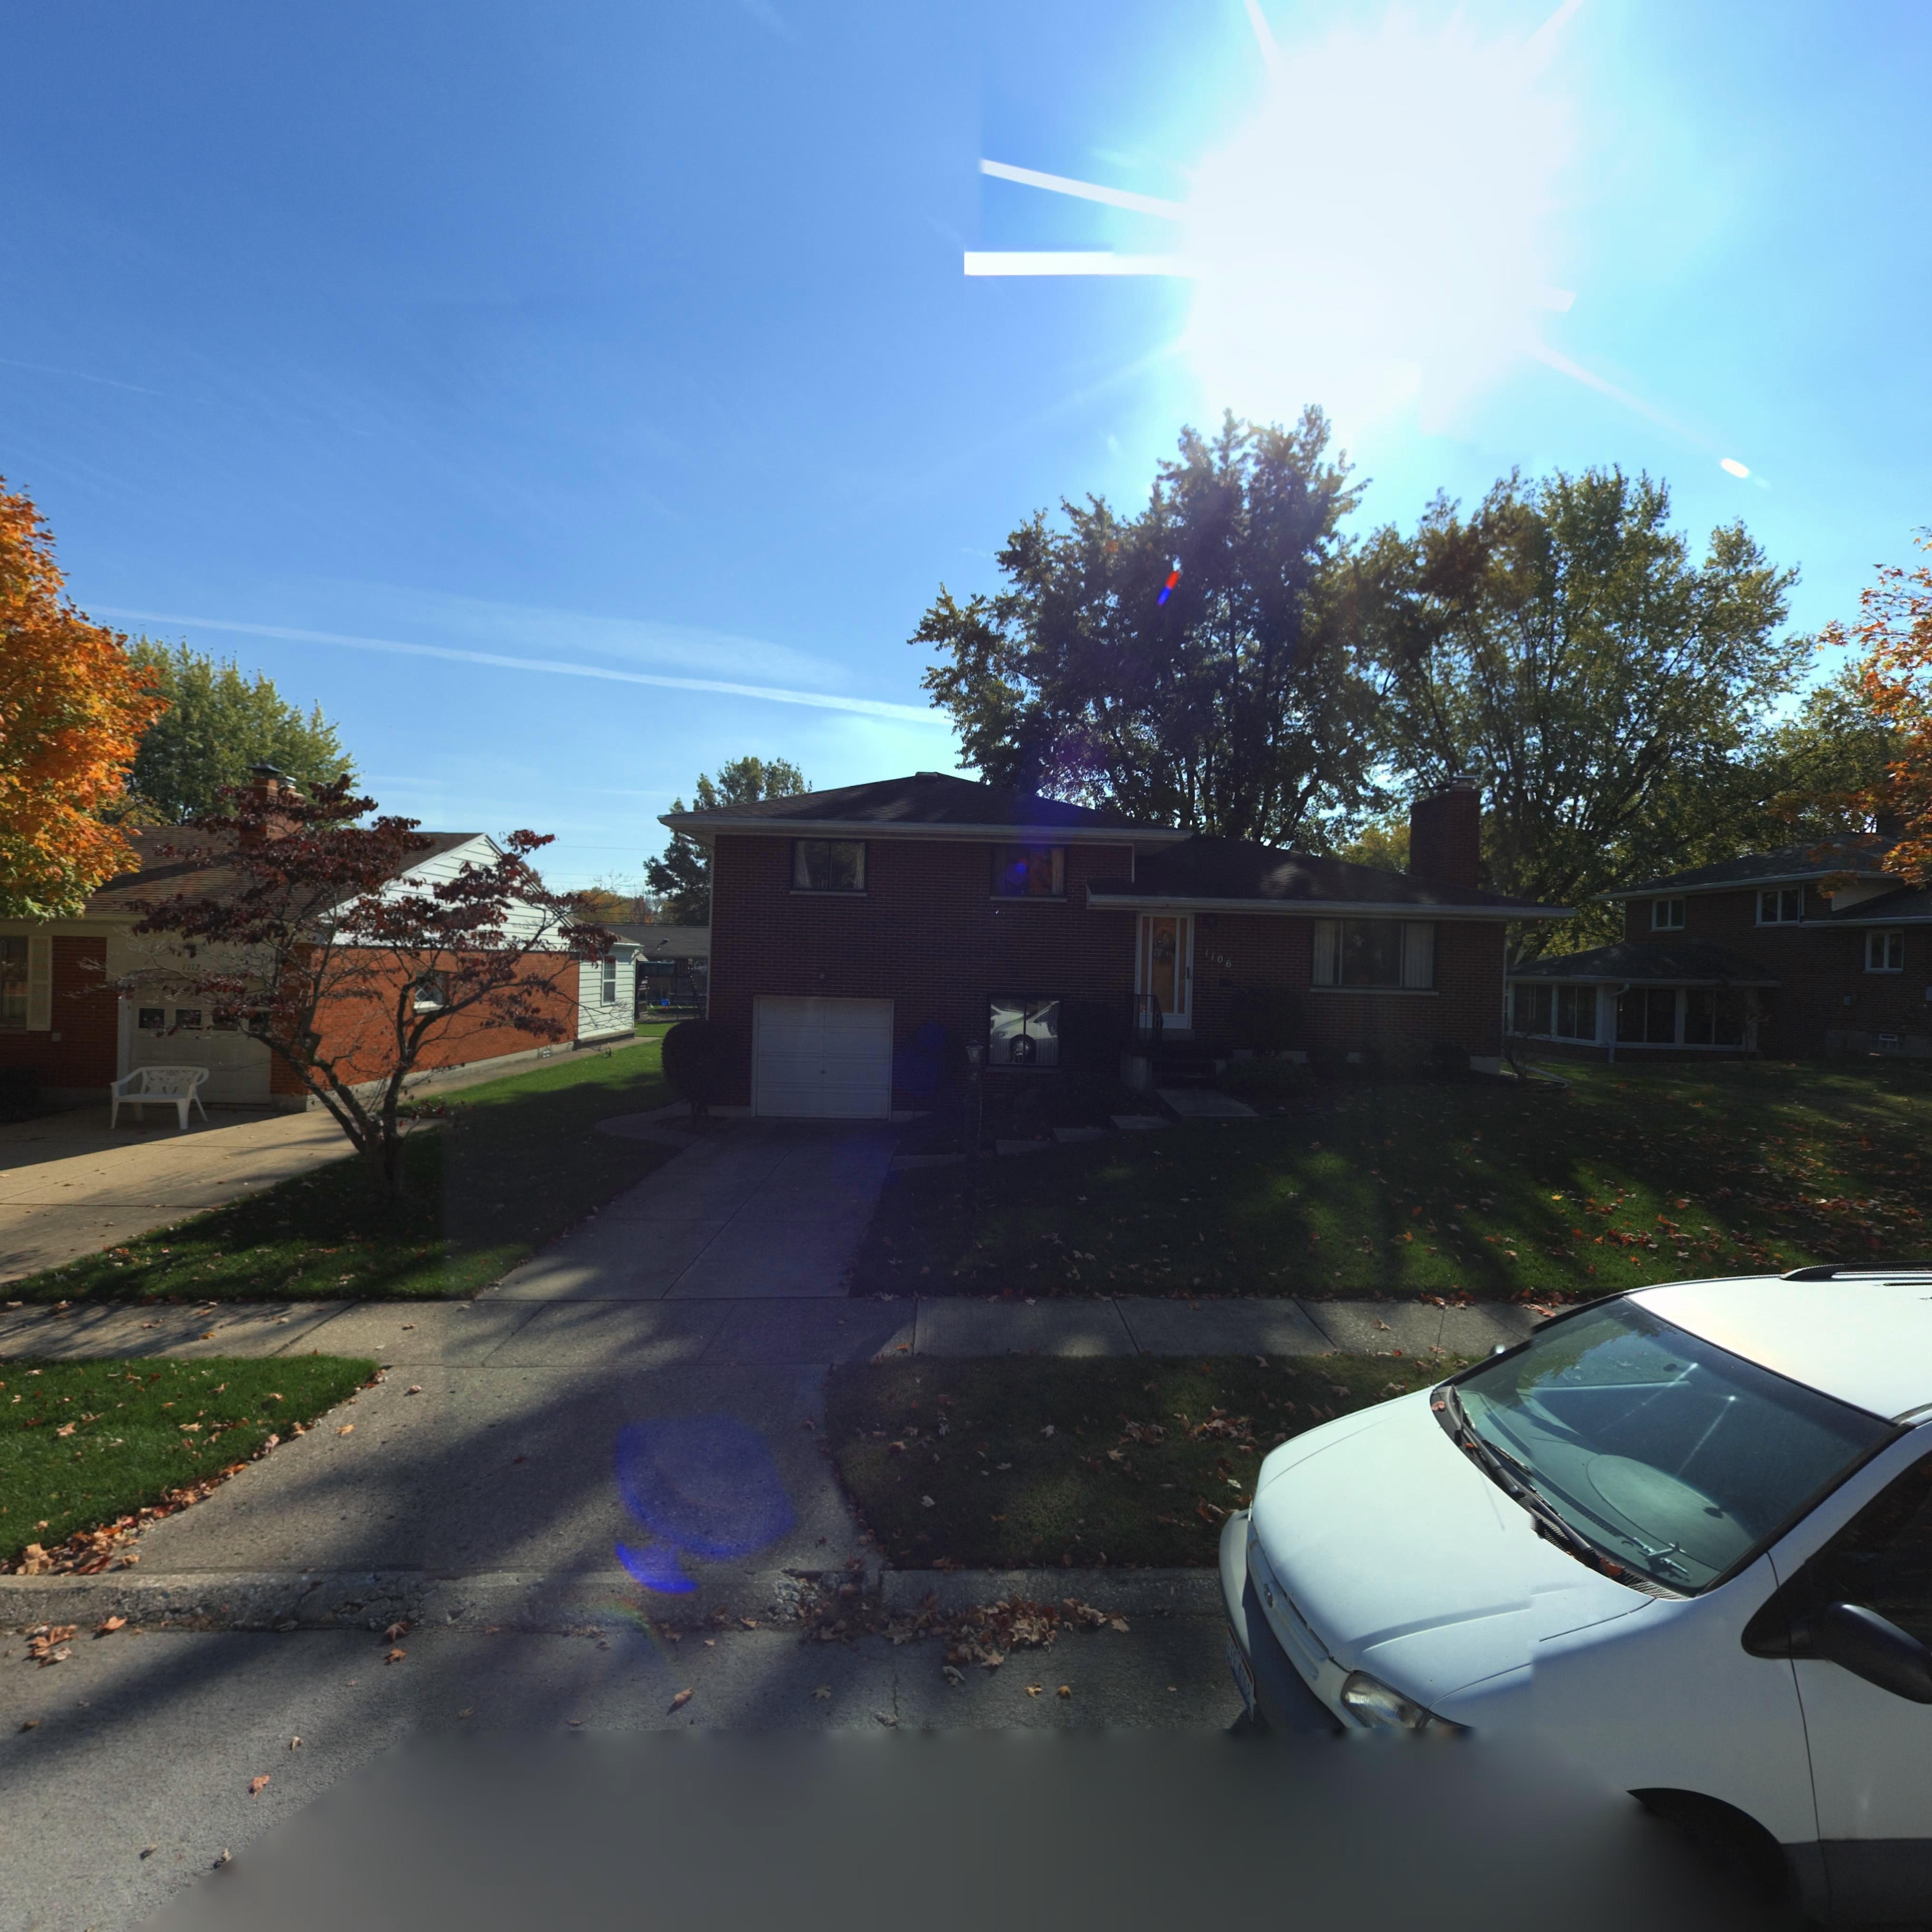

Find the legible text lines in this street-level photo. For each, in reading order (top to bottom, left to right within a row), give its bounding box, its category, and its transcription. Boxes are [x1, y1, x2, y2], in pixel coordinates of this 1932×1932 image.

[181, 962, 202, 972] StreetNumber: 1112
[1204, 947, 1233, 970] StreetNumber: 1106